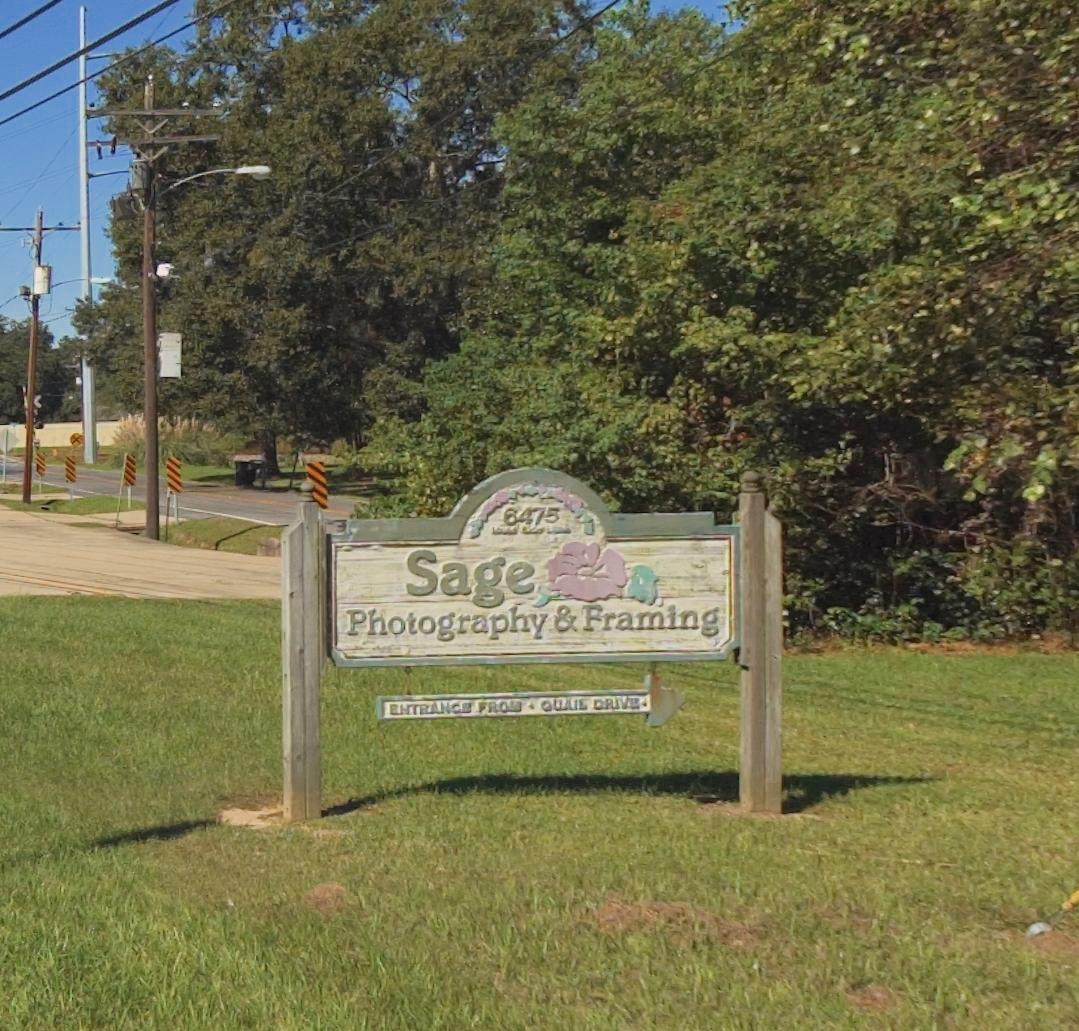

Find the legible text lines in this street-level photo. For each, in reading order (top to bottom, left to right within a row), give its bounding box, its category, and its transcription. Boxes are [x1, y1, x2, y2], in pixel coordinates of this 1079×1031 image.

[501, 504, 563, 528] StreetNumber: 6475
[398, 543, 544, 614] BusinessName: Sage
[342, 600, 727, 648] BusinessName: Photography & Framing
[386, 696, 524, 719] None: ENTRANCE FROM
[537, 693, 645, 715] StreetName: QU**E DRIVE